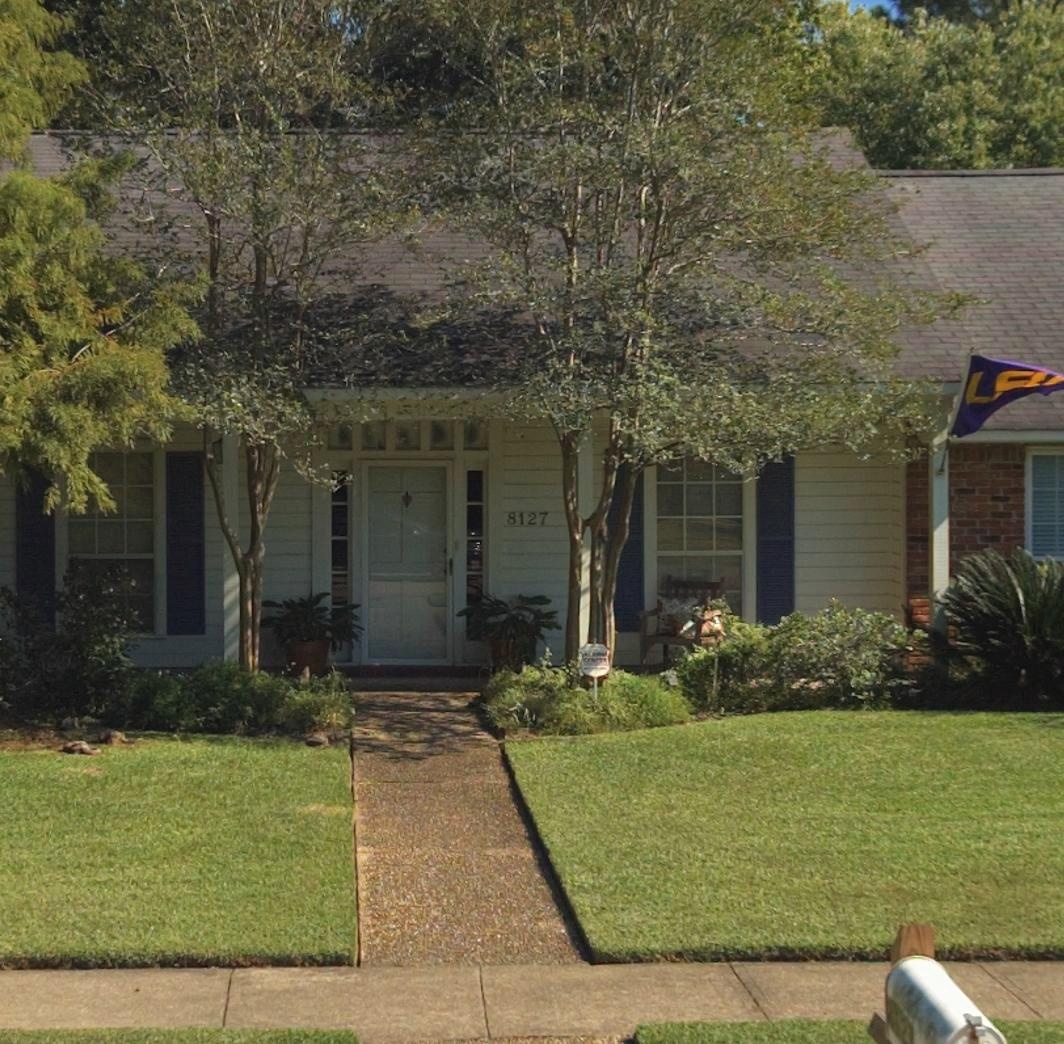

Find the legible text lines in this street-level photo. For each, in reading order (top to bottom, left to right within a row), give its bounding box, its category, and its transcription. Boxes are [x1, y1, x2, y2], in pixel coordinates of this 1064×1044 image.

[507, 511, 549, 526] StreetNumber: 8127